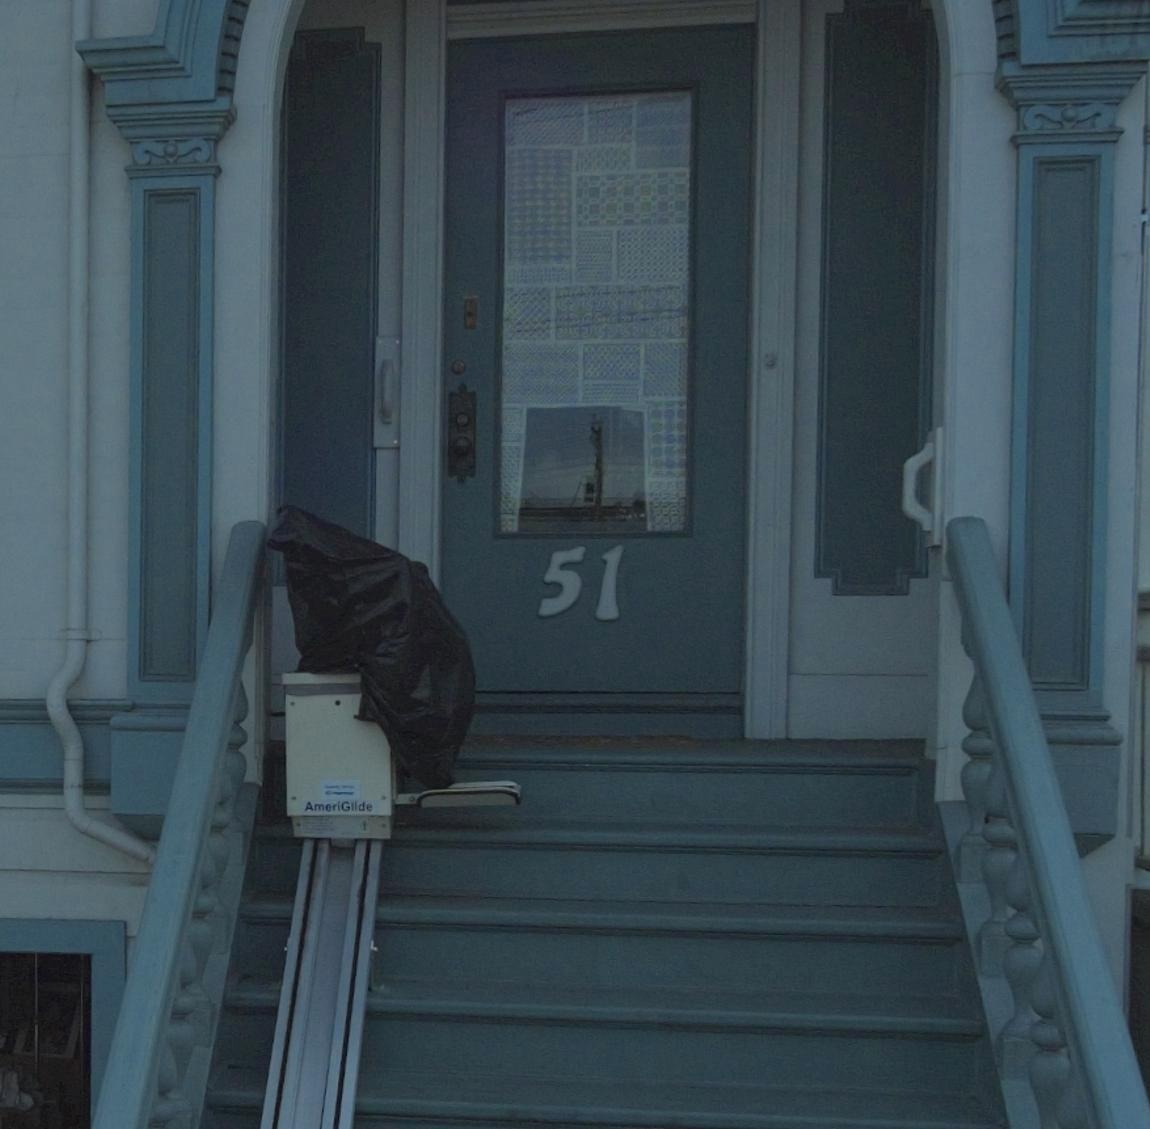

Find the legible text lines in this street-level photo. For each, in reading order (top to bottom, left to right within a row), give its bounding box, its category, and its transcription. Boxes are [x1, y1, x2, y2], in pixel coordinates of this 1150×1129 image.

[535, 544, 626, 623] StreetNumber: 51
[303, 800, 374, 811] None: AmeriGlide